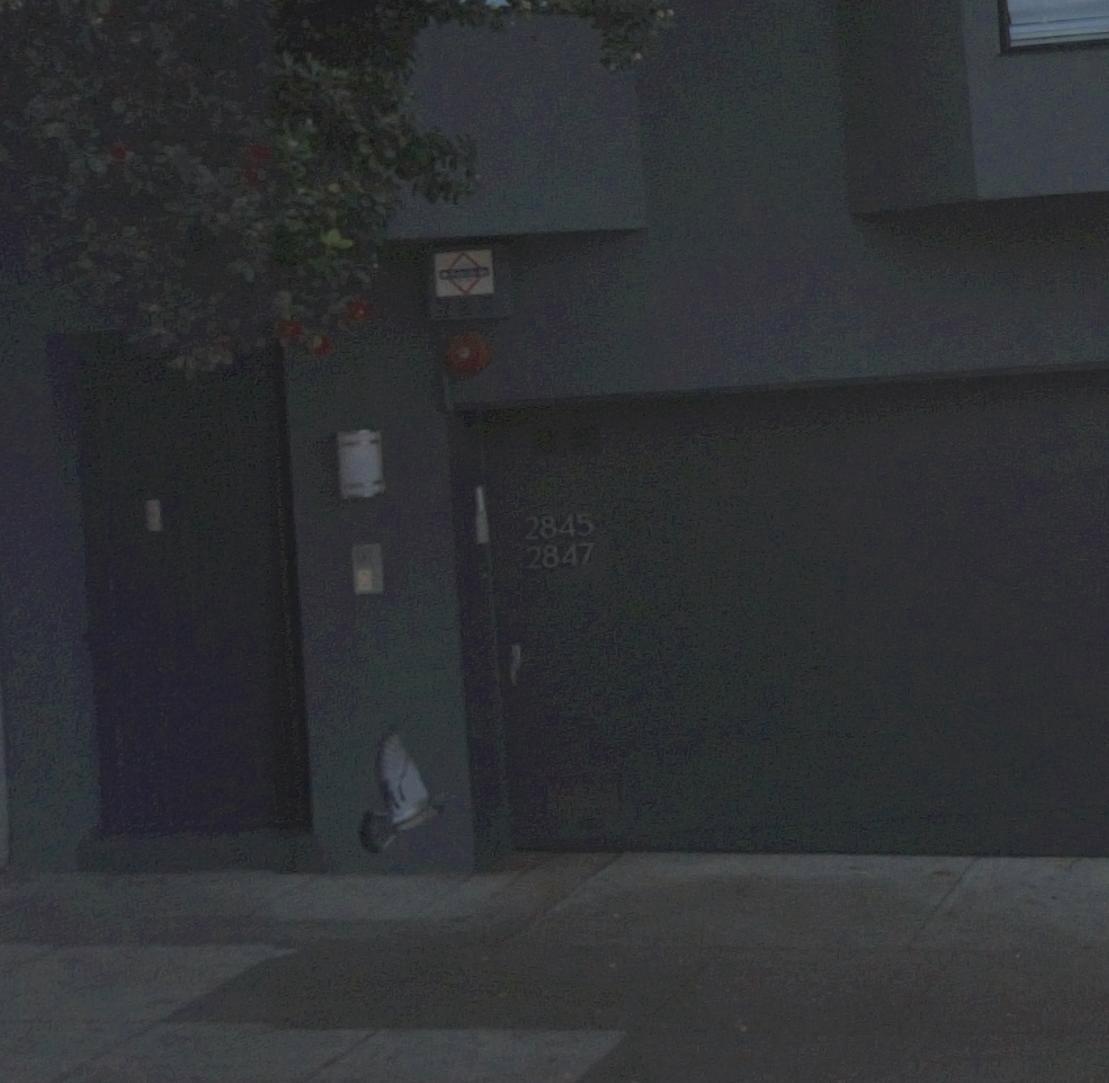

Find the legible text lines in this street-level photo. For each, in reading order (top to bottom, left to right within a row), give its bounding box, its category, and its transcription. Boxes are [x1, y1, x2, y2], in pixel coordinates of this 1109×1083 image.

[521, 509, 596, 543] StreetNumber: 2845
[524, 540, 598, 572] StreetNumber: 2847